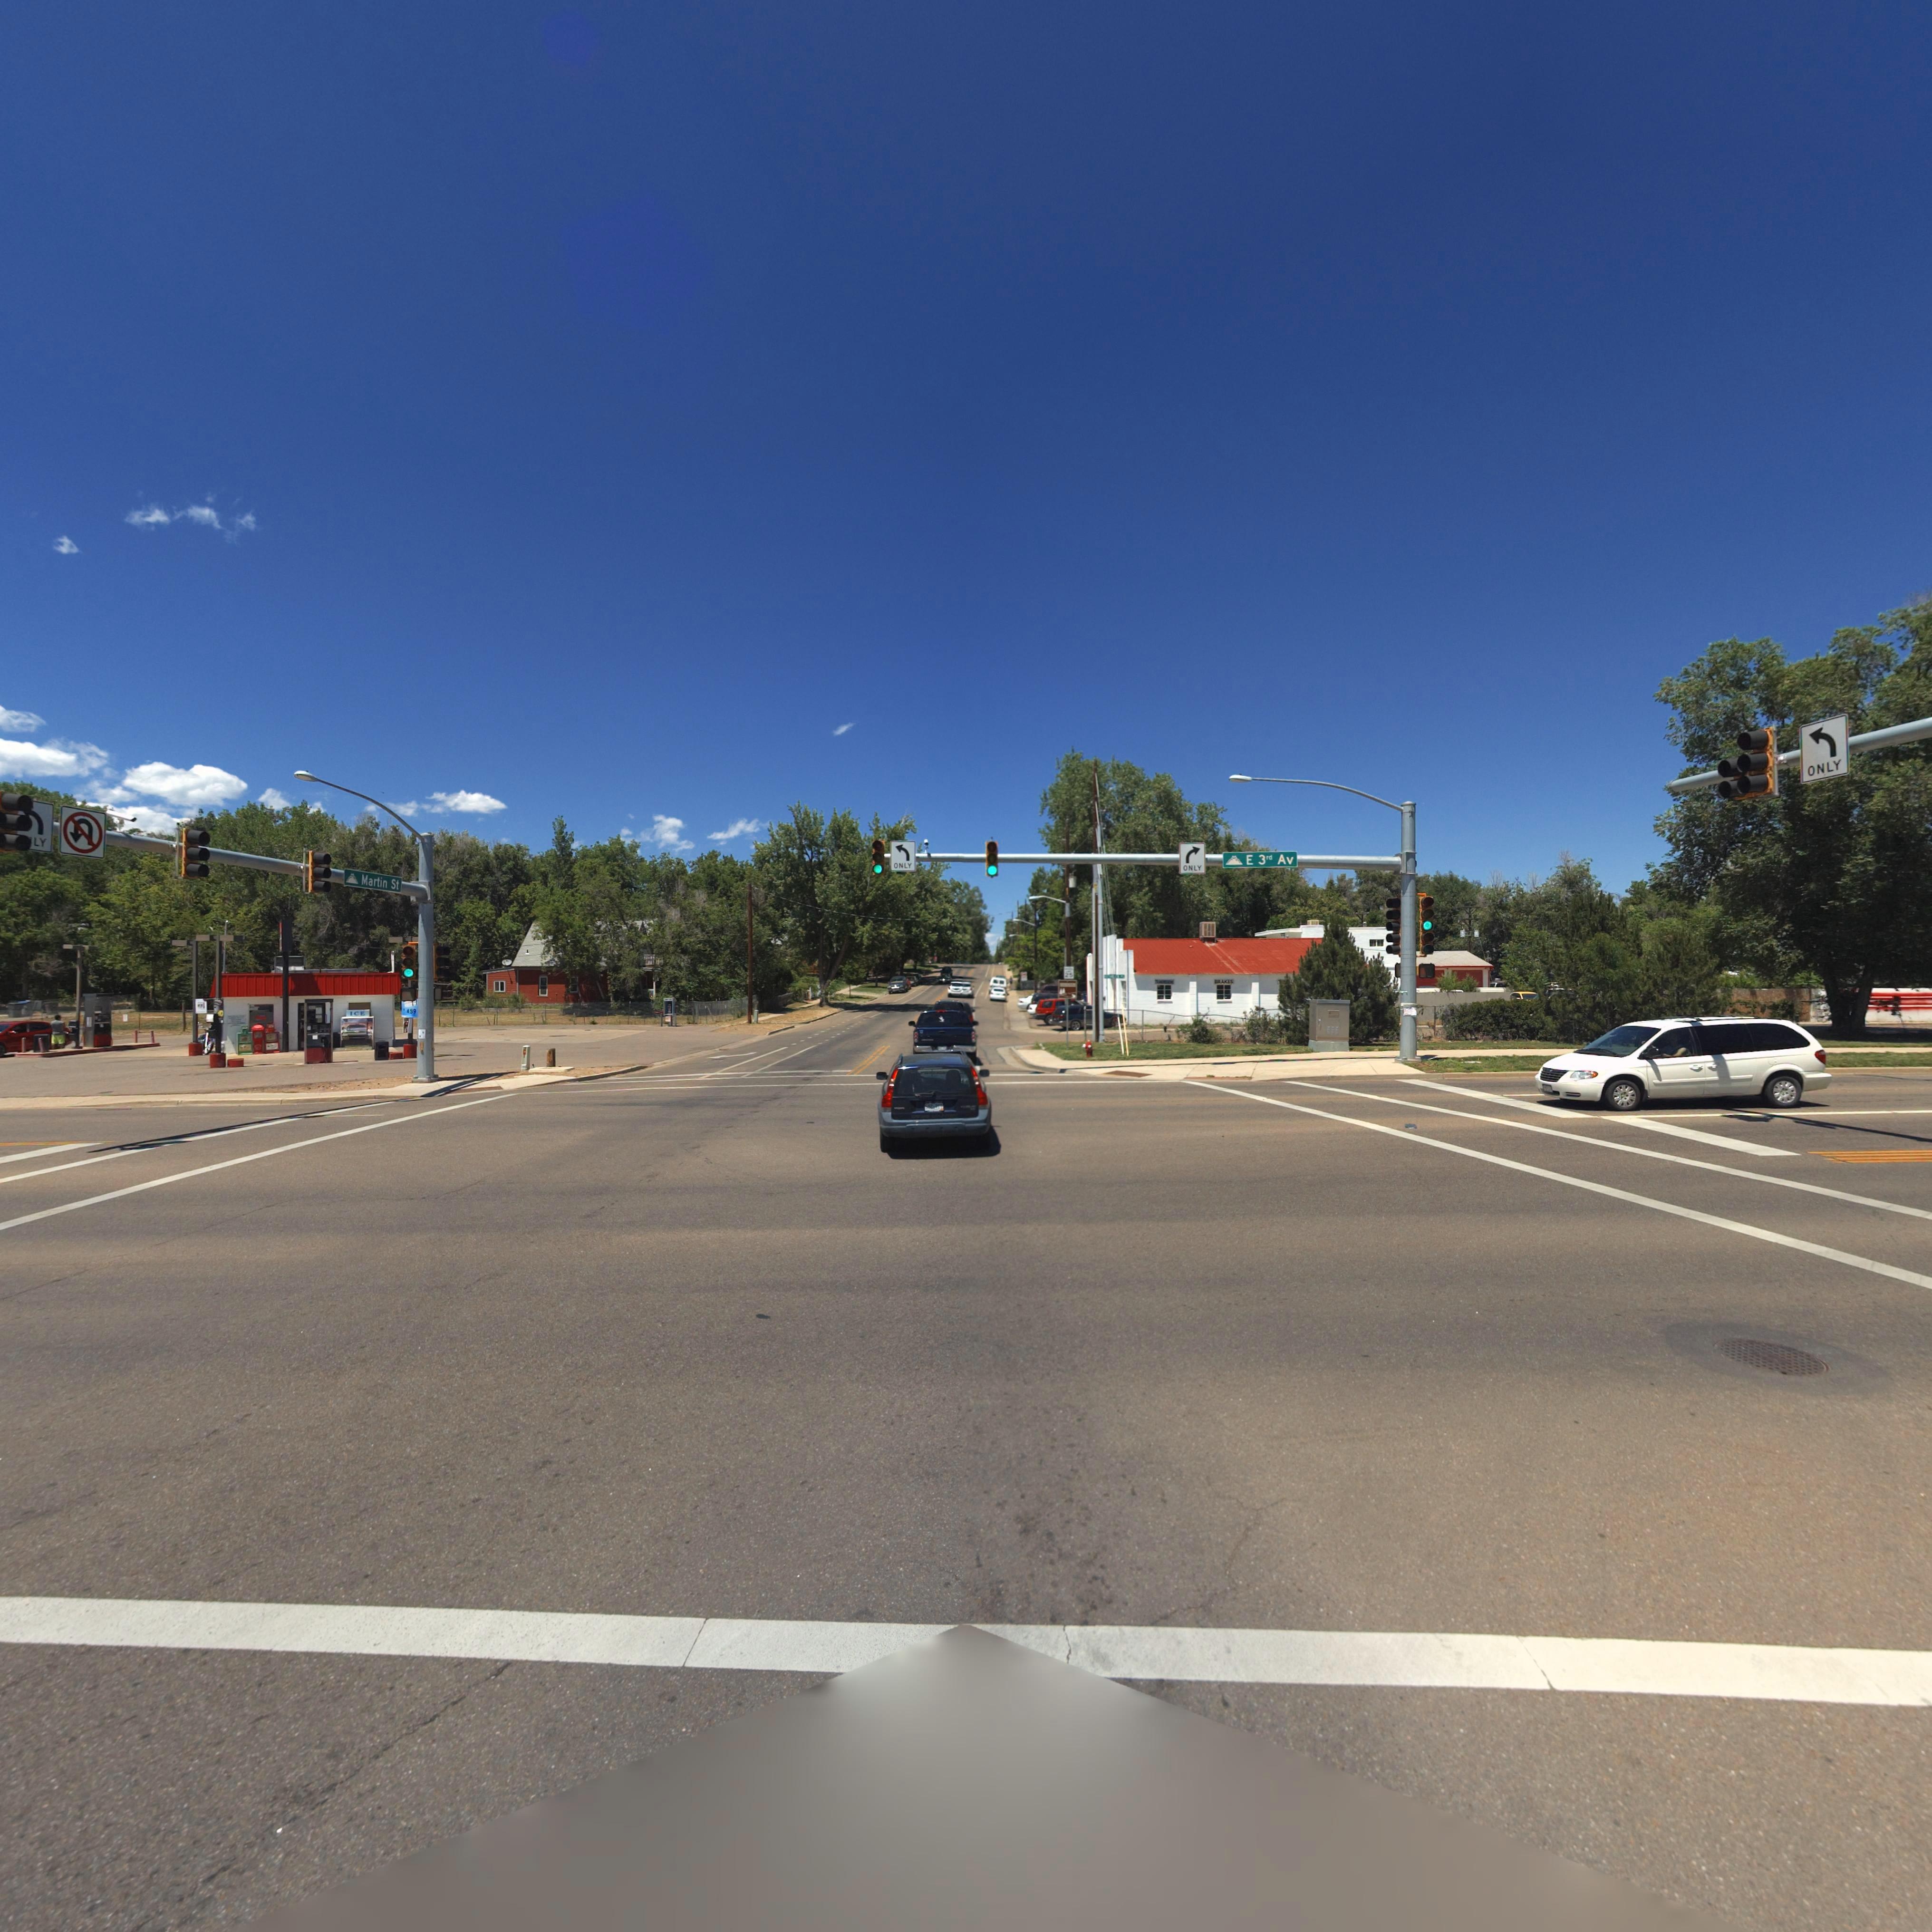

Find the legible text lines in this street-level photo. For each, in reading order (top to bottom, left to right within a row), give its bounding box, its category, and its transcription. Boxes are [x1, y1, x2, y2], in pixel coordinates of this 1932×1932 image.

[1246, 853, 1294, 866] StreetName: E 3rd Av
[361, 873, 400, 890] StreetName: Martin St